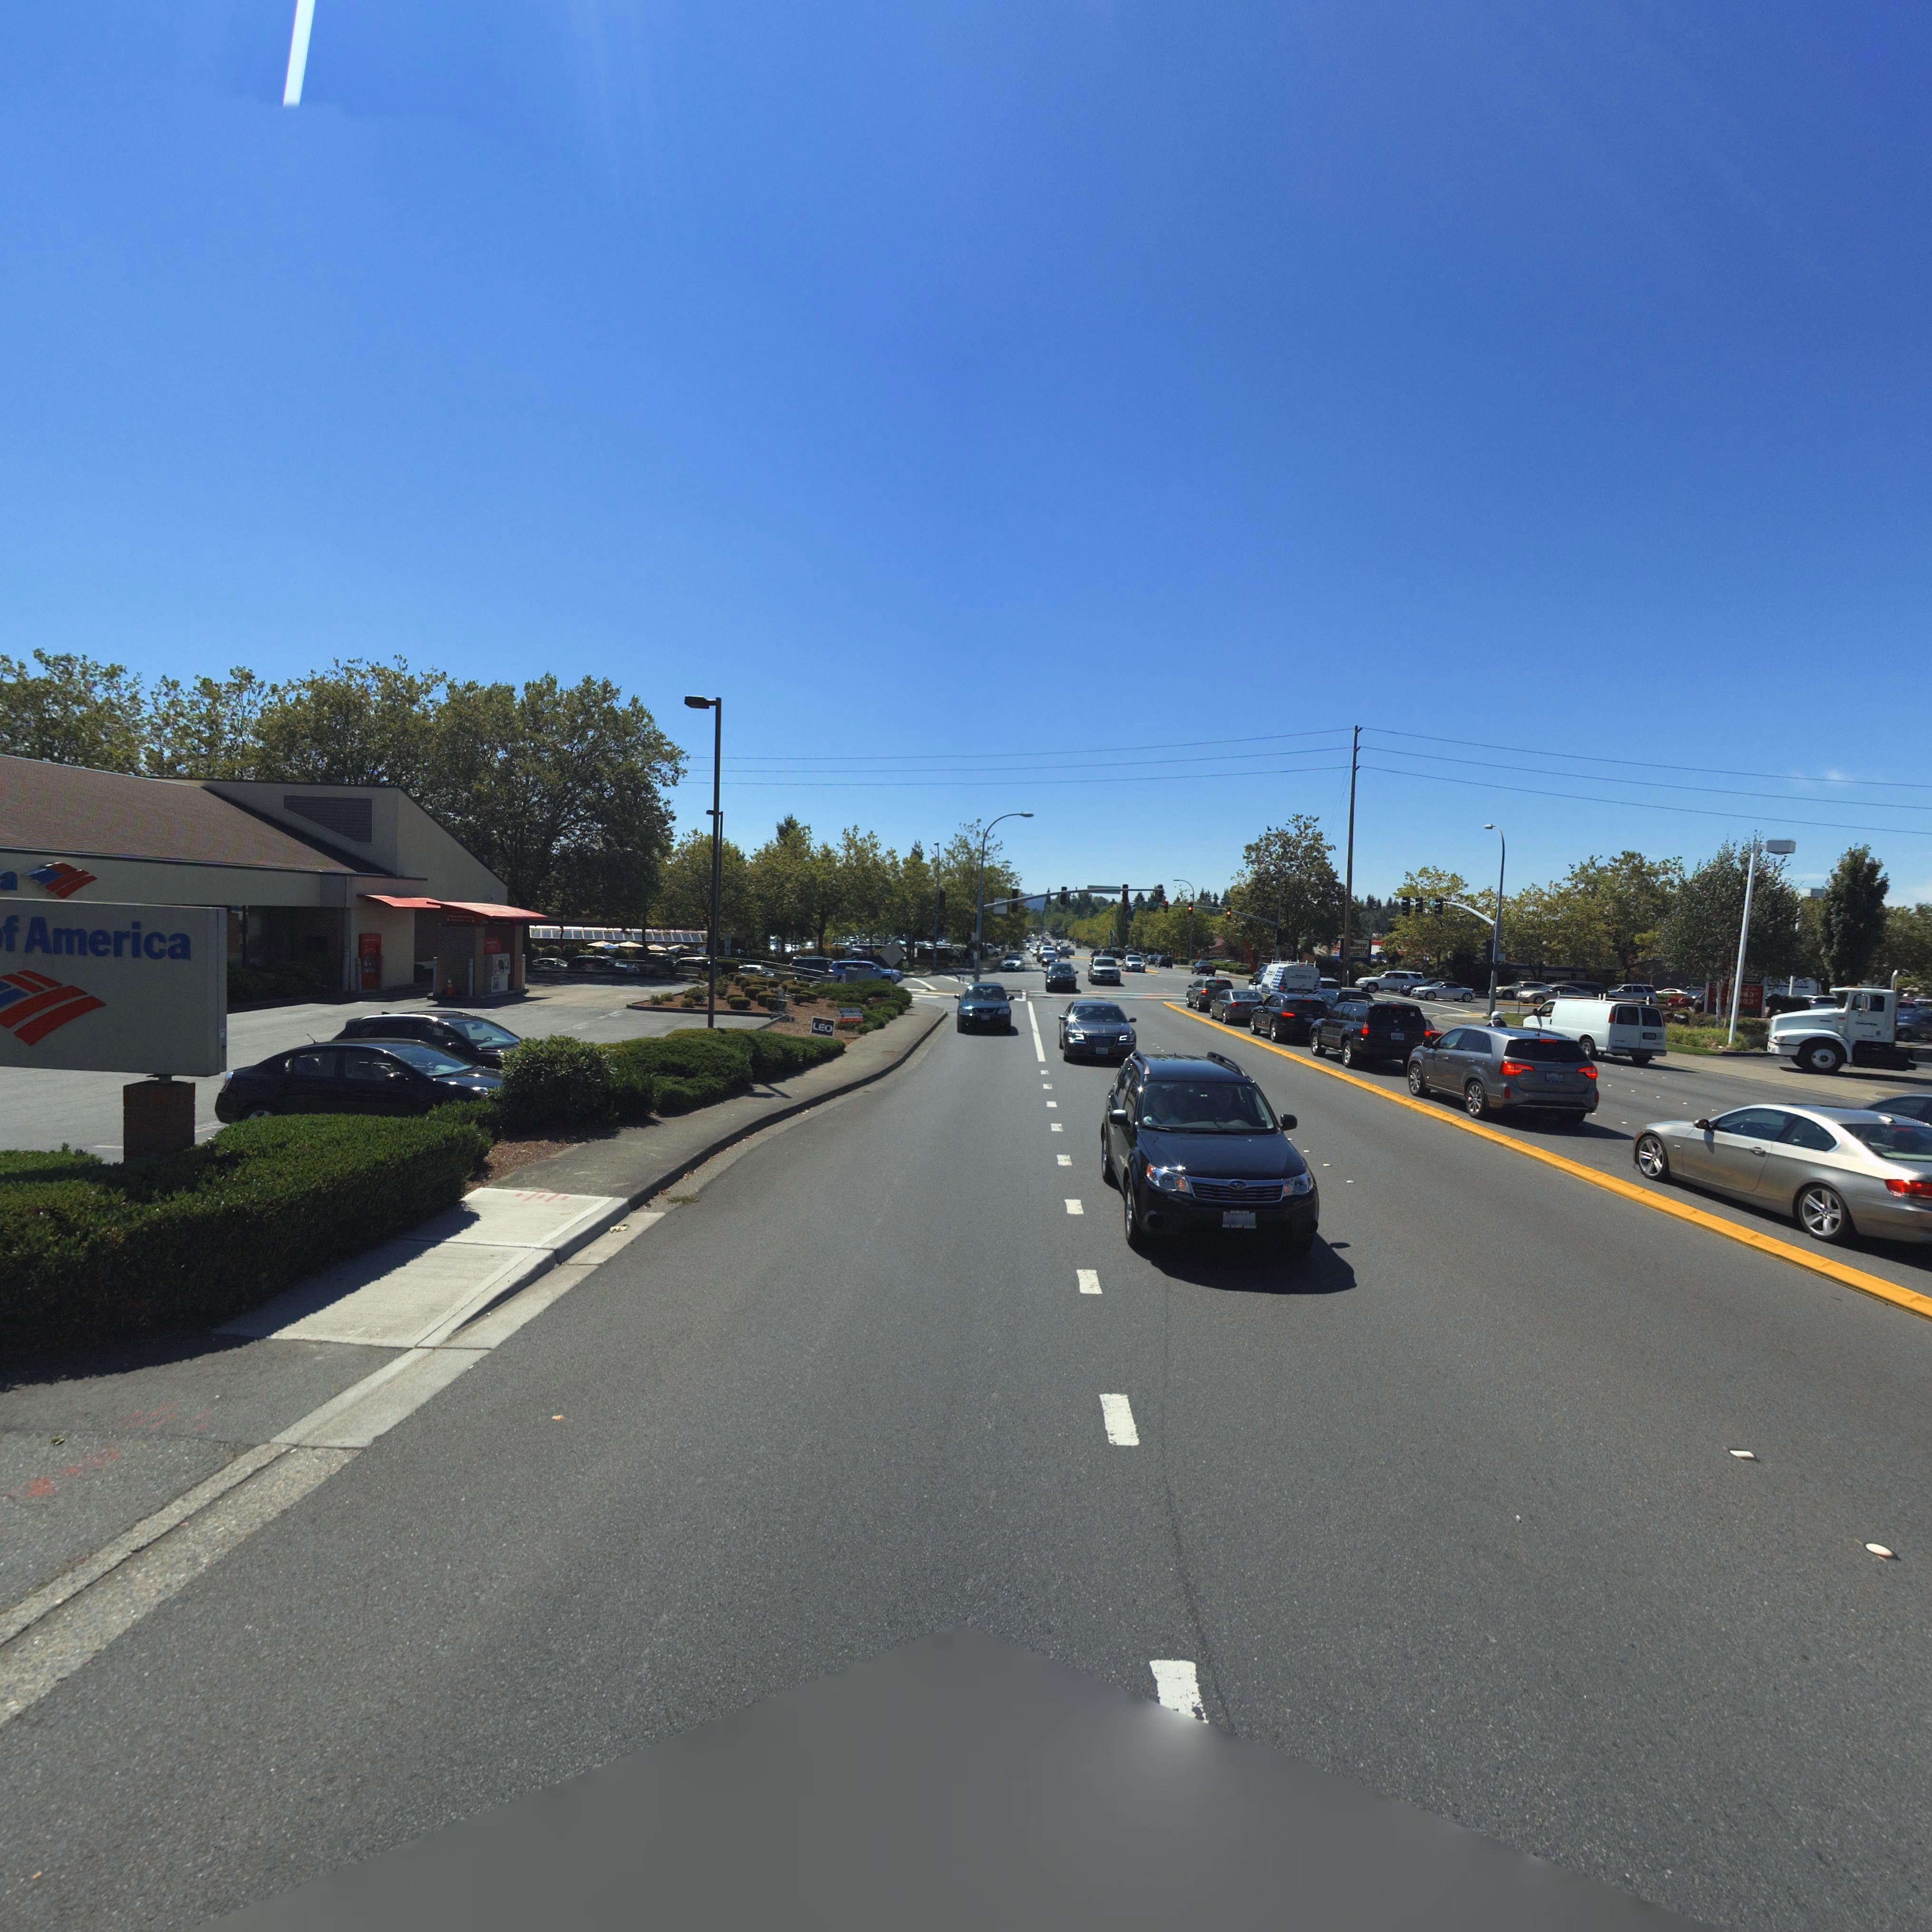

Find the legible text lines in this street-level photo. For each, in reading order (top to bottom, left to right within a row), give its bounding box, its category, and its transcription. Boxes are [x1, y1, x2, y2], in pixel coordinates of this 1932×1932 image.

[1, 915, 191, 960] BusinessName: f America